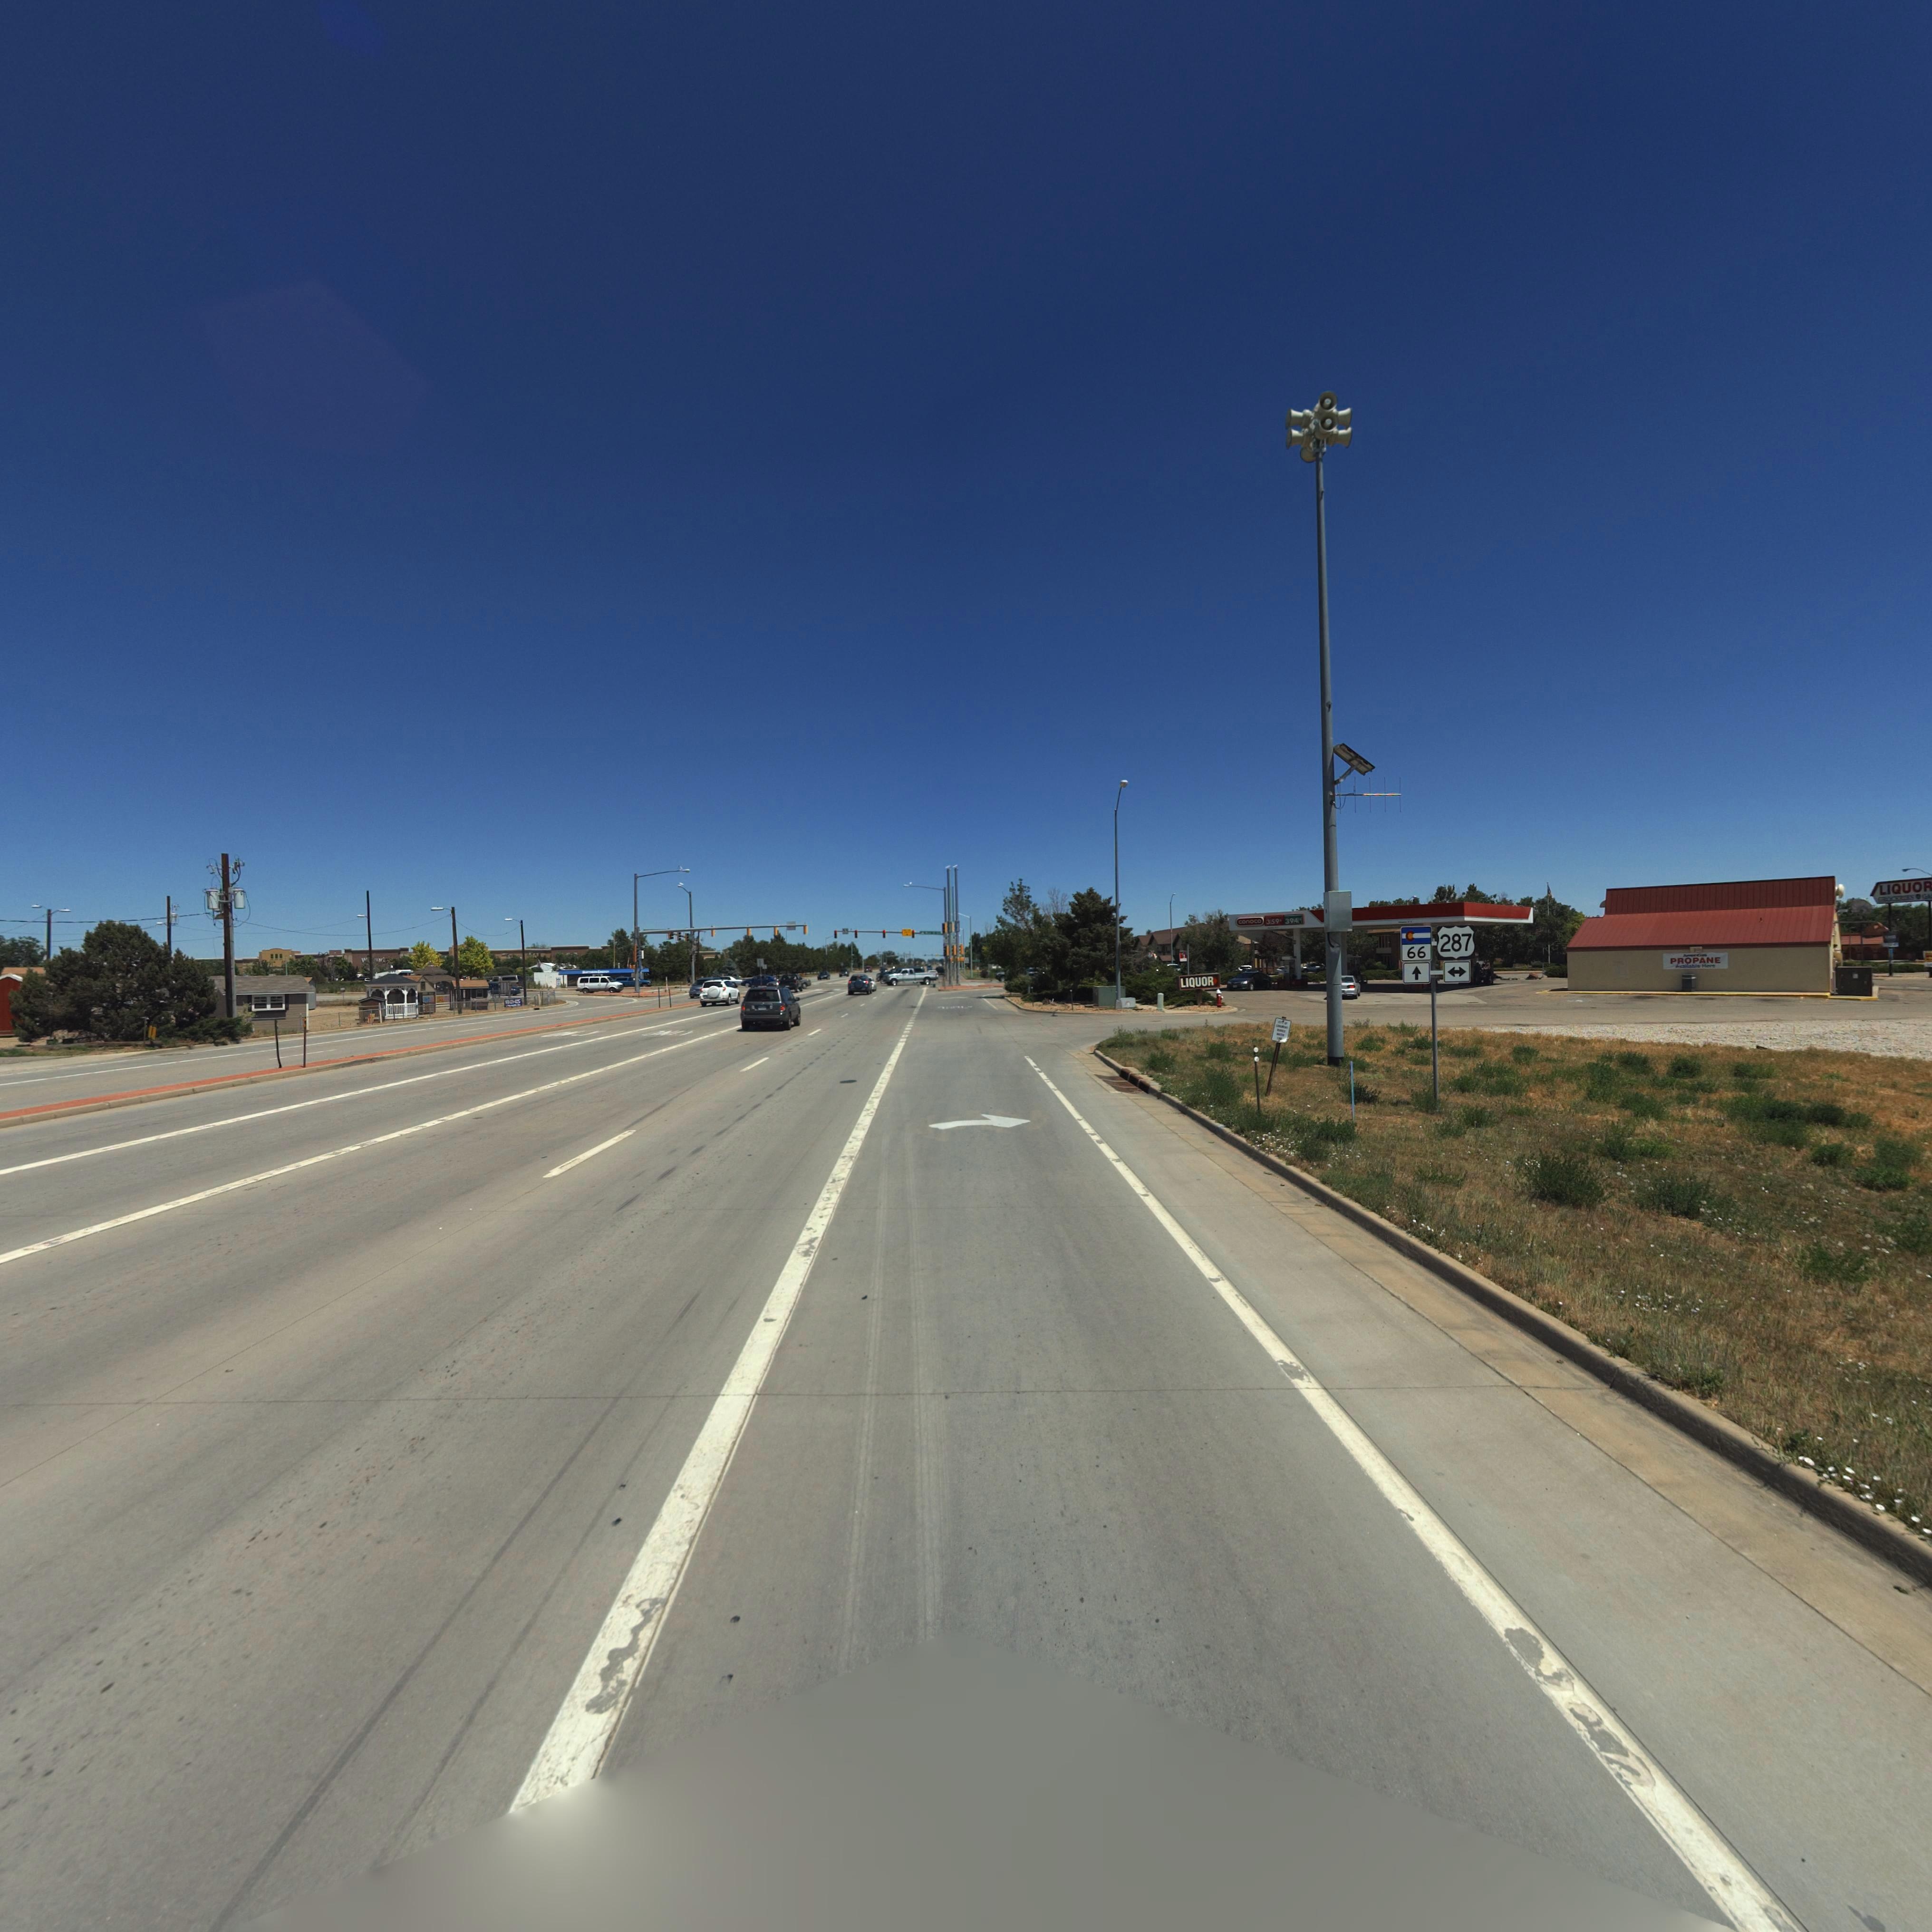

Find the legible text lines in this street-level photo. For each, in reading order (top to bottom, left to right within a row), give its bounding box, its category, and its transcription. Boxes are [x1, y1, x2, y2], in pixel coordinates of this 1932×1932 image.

[1238, 919, 1261, 924] BusinessName: conoco
[582, 969, 609, 974] BusinessName: N******* E*****